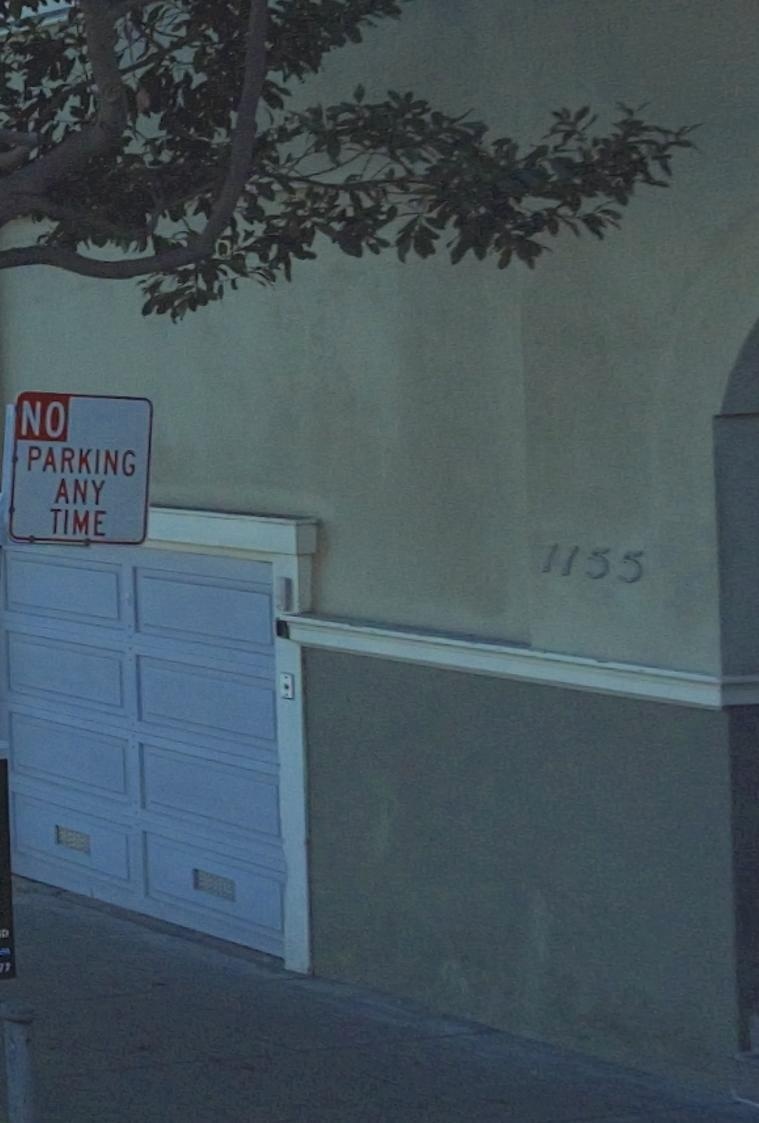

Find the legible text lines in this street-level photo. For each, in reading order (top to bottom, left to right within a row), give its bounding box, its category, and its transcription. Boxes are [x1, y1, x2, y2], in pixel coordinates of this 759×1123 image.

[15, 397, 68, 441] None: NO
[25, 442, 137, 478] None: PARKING
[50, 475, 107, 507] None: ANY
[47, 506, 109, 538] None: TIME
[536, 538, 648, 588] StreetNumber: 1155